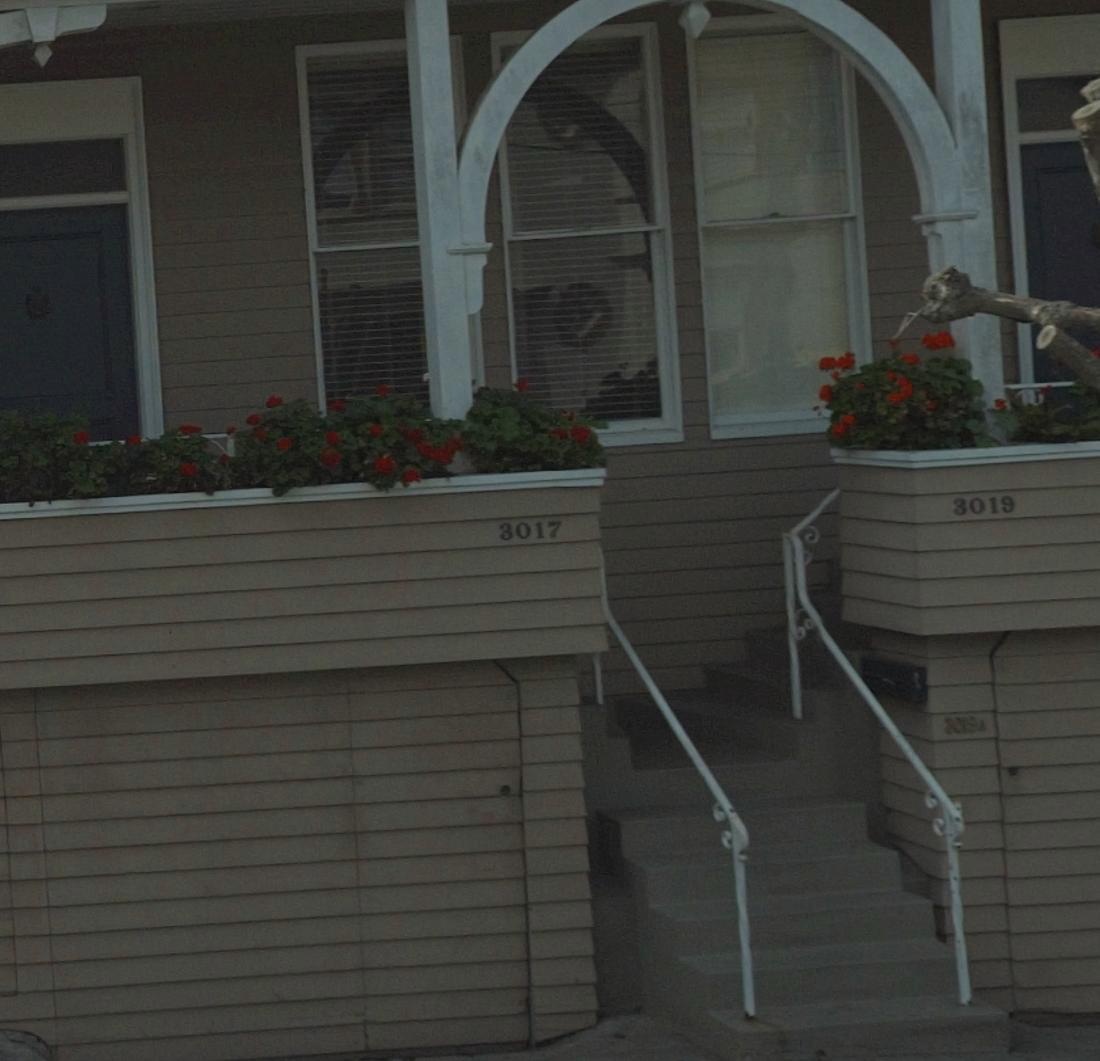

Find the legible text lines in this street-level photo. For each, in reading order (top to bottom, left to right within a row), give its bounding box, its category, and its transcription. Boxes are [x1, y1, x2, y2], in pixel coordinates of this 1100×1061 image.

[951, 493, 1018, 518] StreetNumber: 3019
[497, 517, 566, 545] StreetNumber: 3017
[938, 712, 992, 736] StreetNumber: *0** A